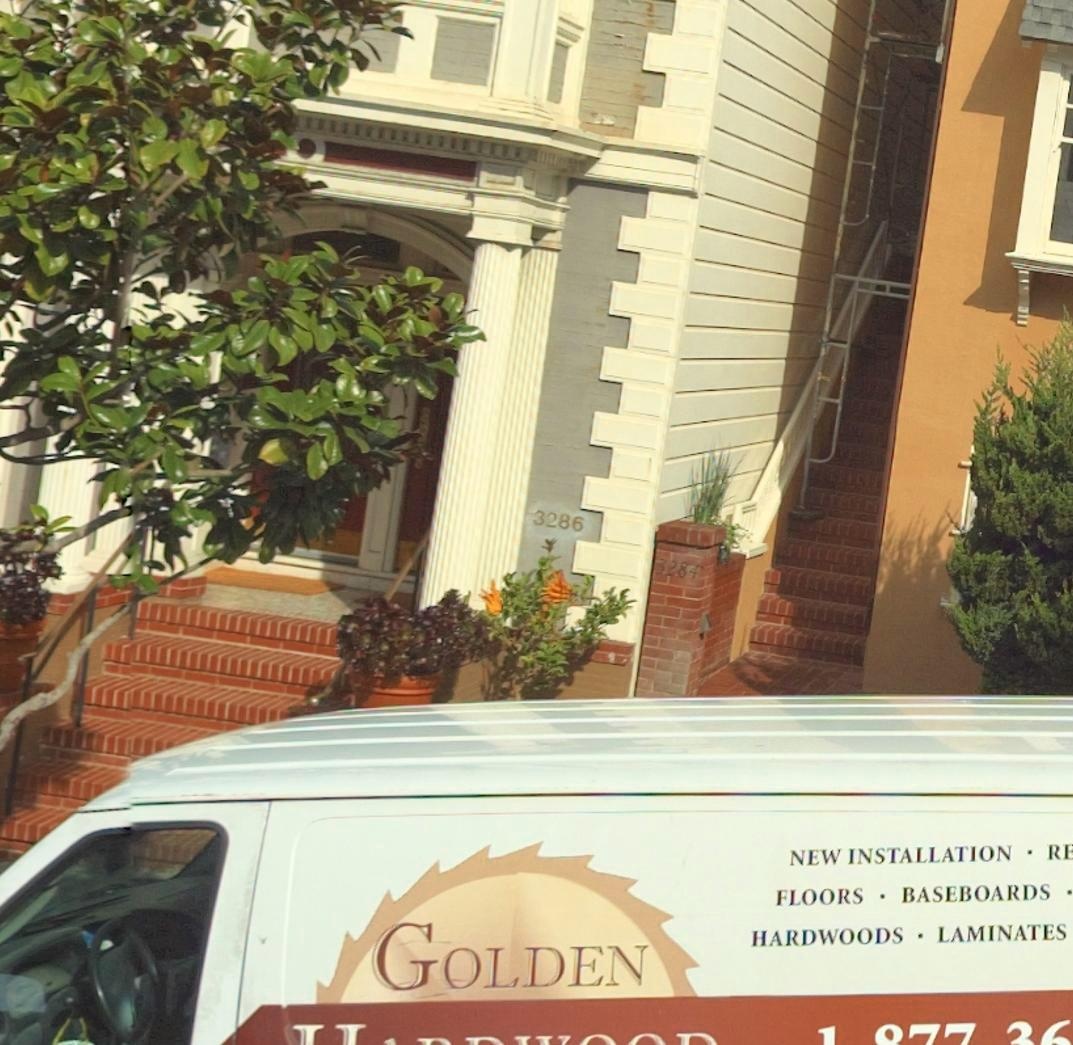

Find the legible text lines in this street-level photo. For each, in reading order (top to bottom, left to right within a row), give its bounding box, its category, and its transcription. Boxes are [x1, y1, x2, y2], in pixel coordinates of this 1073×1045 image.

[529, 506, 587, 535] StreetNumber: 3286
[650, 553, 704, 585] StreetNumber: 3284
[786, 841, 1065, 868] None: NEW INSTALLATION * R
[771, 880, 1056, 910] None: FLOORS * BASEBOARDS
[747, 921, 1070, 950] None: HARDWOODS * LAMINATES
[366, 915, 652, 994] None: GOLDEN